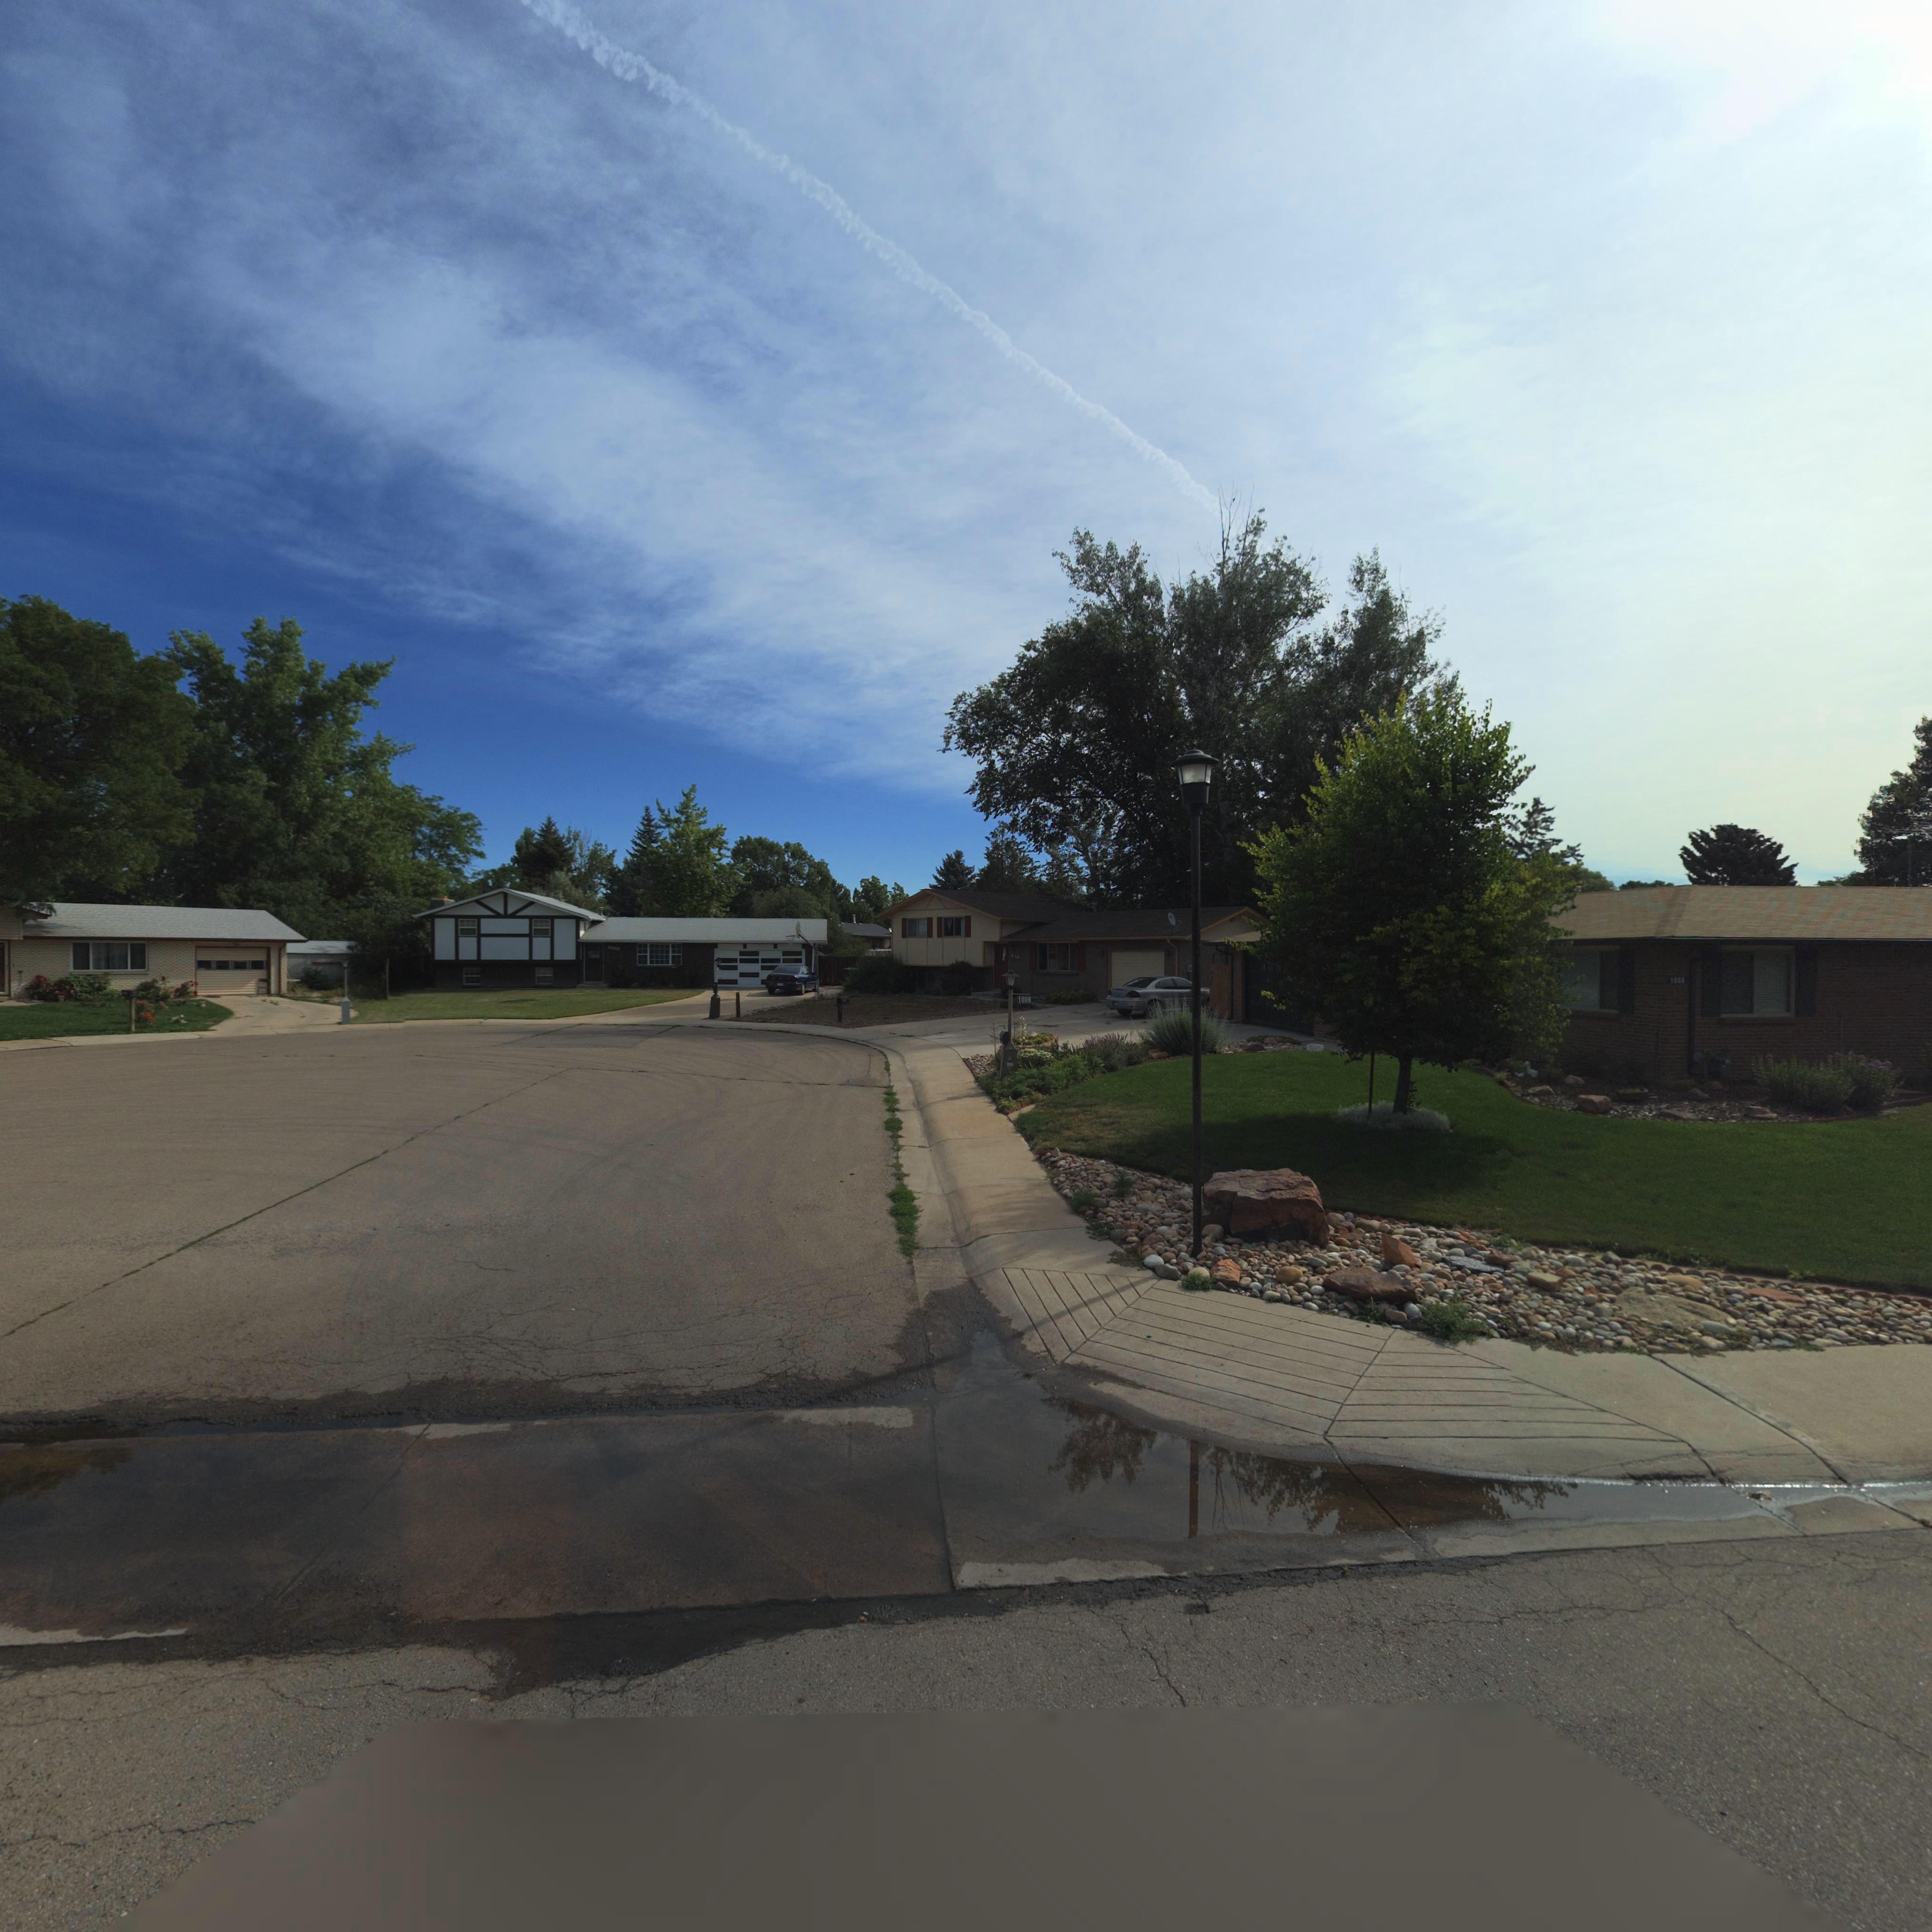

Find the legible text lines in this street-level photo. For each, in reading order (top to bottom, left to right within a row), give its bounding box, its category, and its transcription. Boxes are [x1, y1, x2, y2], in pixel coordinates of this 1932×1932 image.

[608, 945, 620, 951] StreetNumber: 10**
[1010, 953, 1019, 959] StreetNumber: 1014
[1670, 976, 1685, 984] StreetNumber: 1008
[1018, 996, 1030, 1003] StreetNumber: 1008